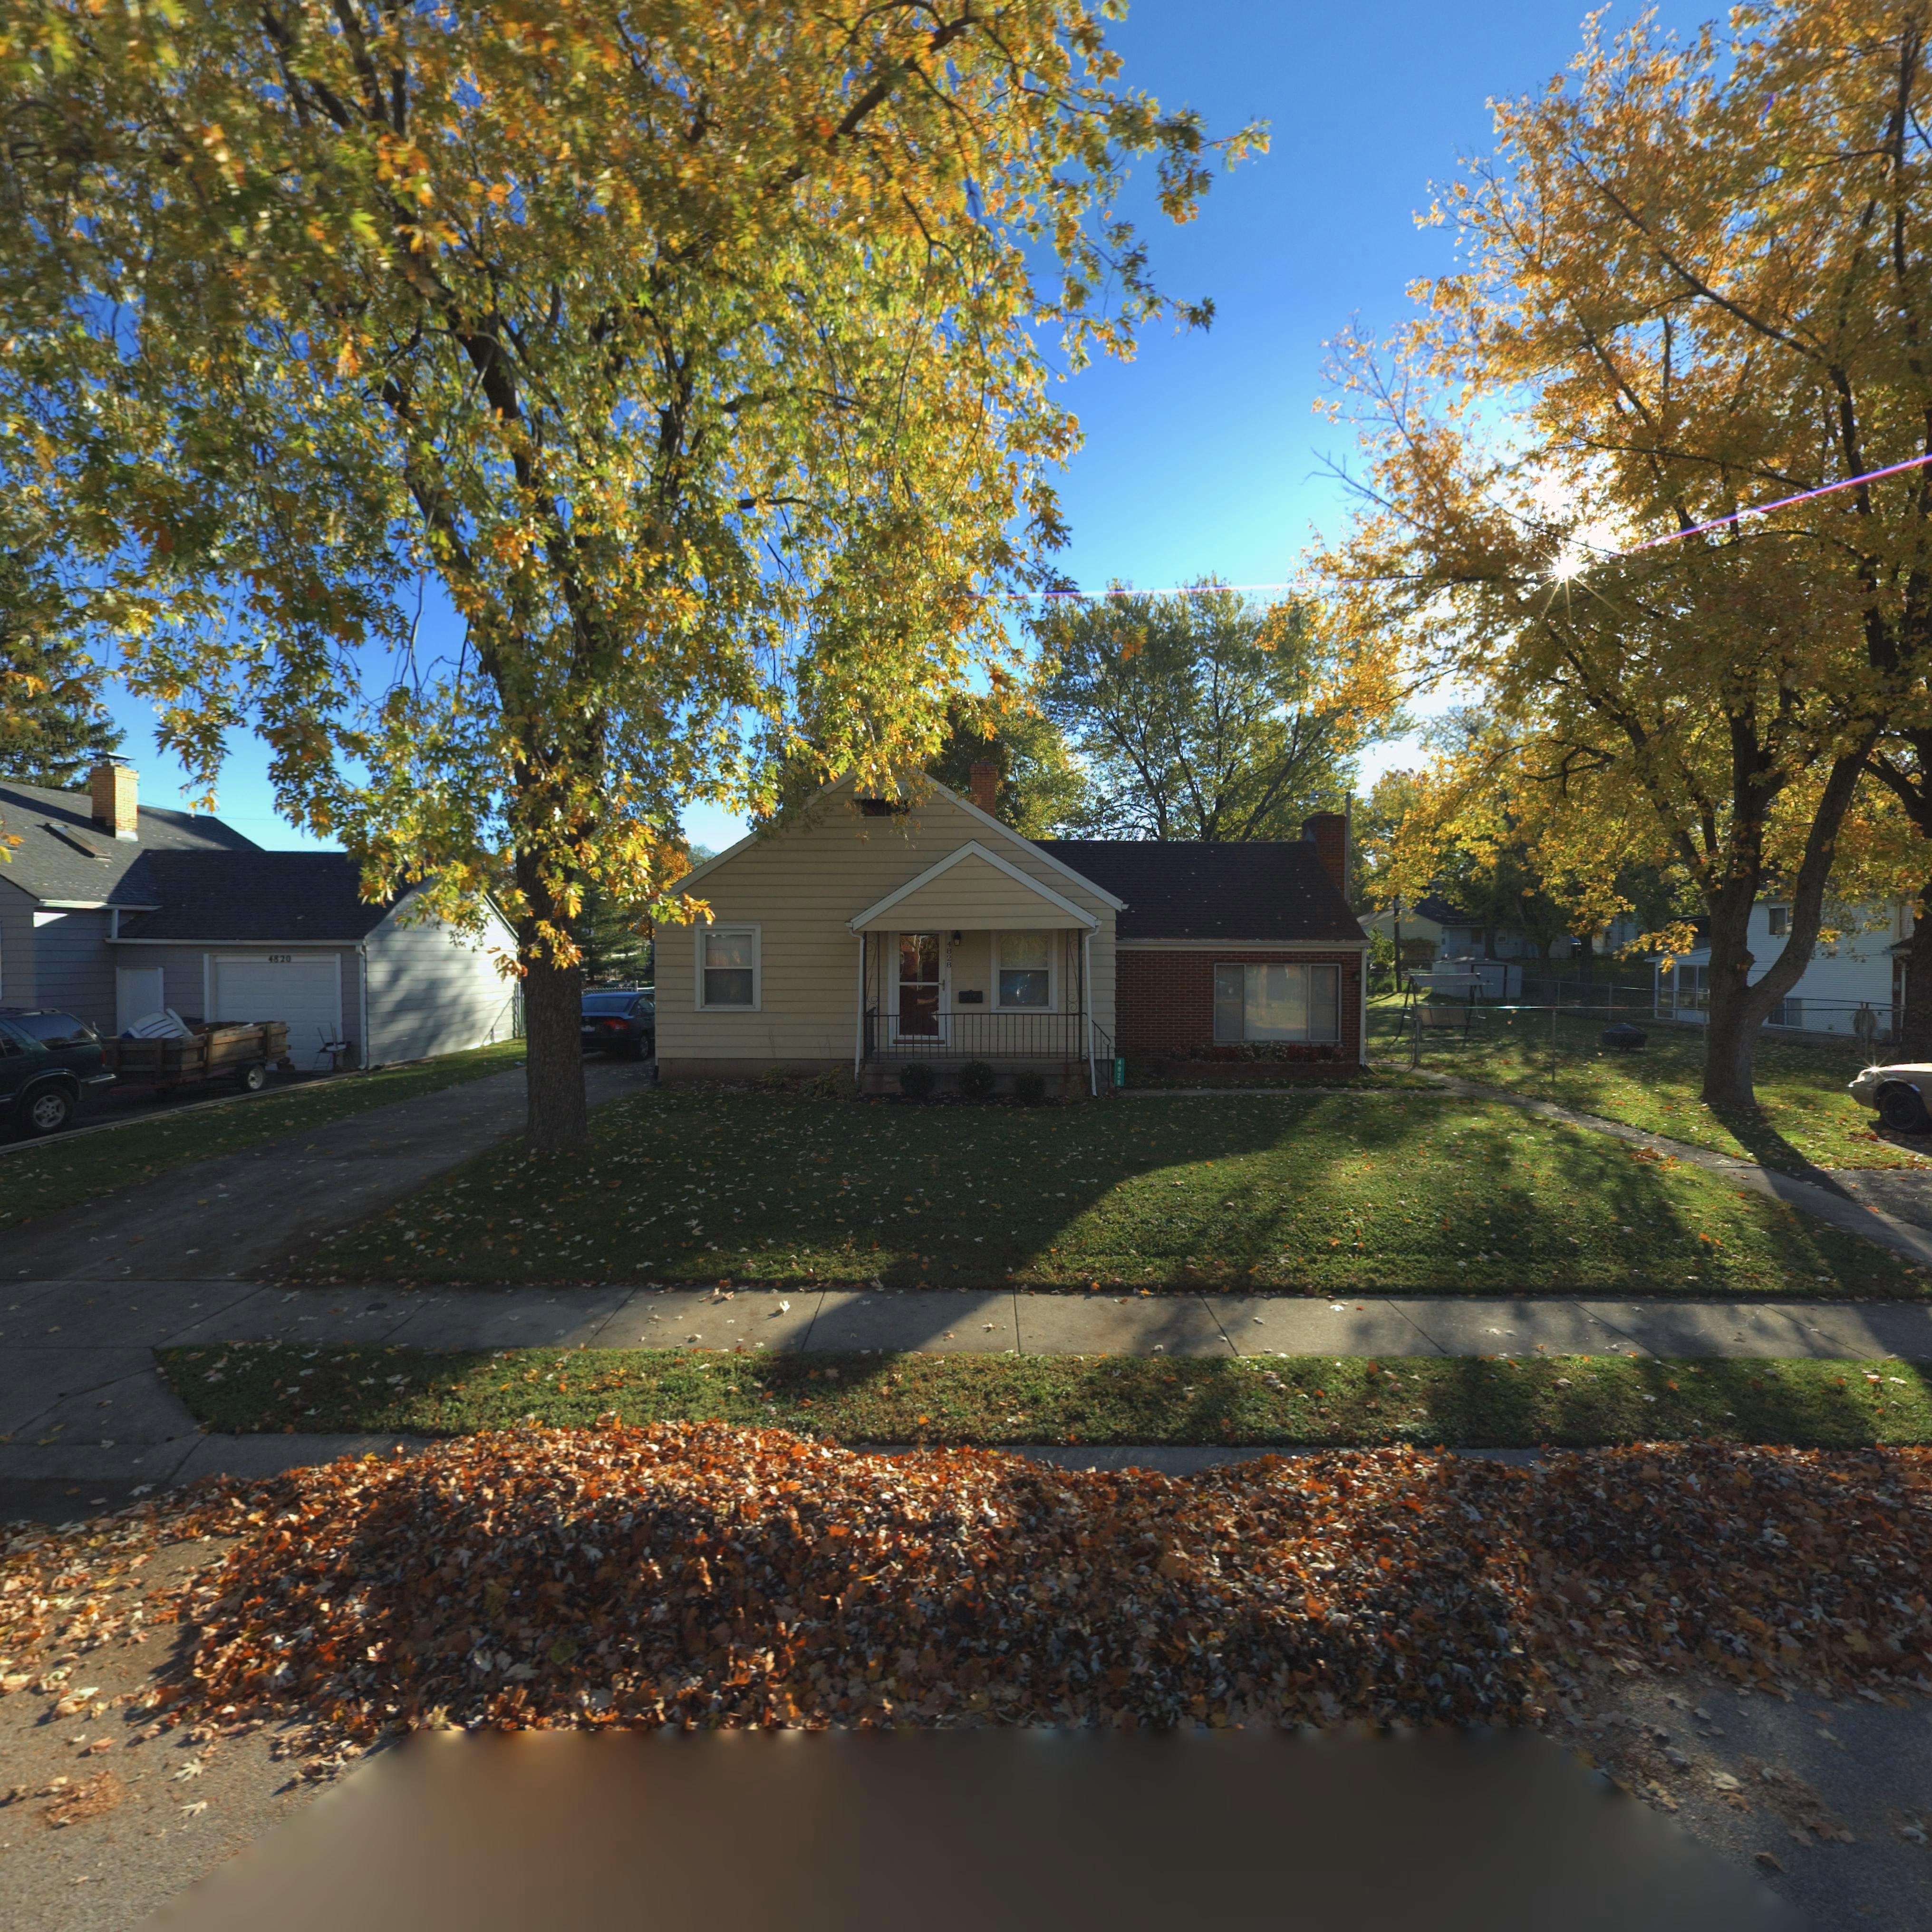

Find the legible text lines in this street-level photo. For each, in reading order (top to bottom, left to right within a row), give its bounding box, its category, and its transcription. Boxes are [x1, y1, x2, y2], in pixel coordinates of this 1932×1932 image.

[267, 953, 292, 964] StreetNumber: 4820
[946, 940, 953, 969] StreetNumber: 4828
[1117, 1058, 1122, 1086] StreetNumber: 4828